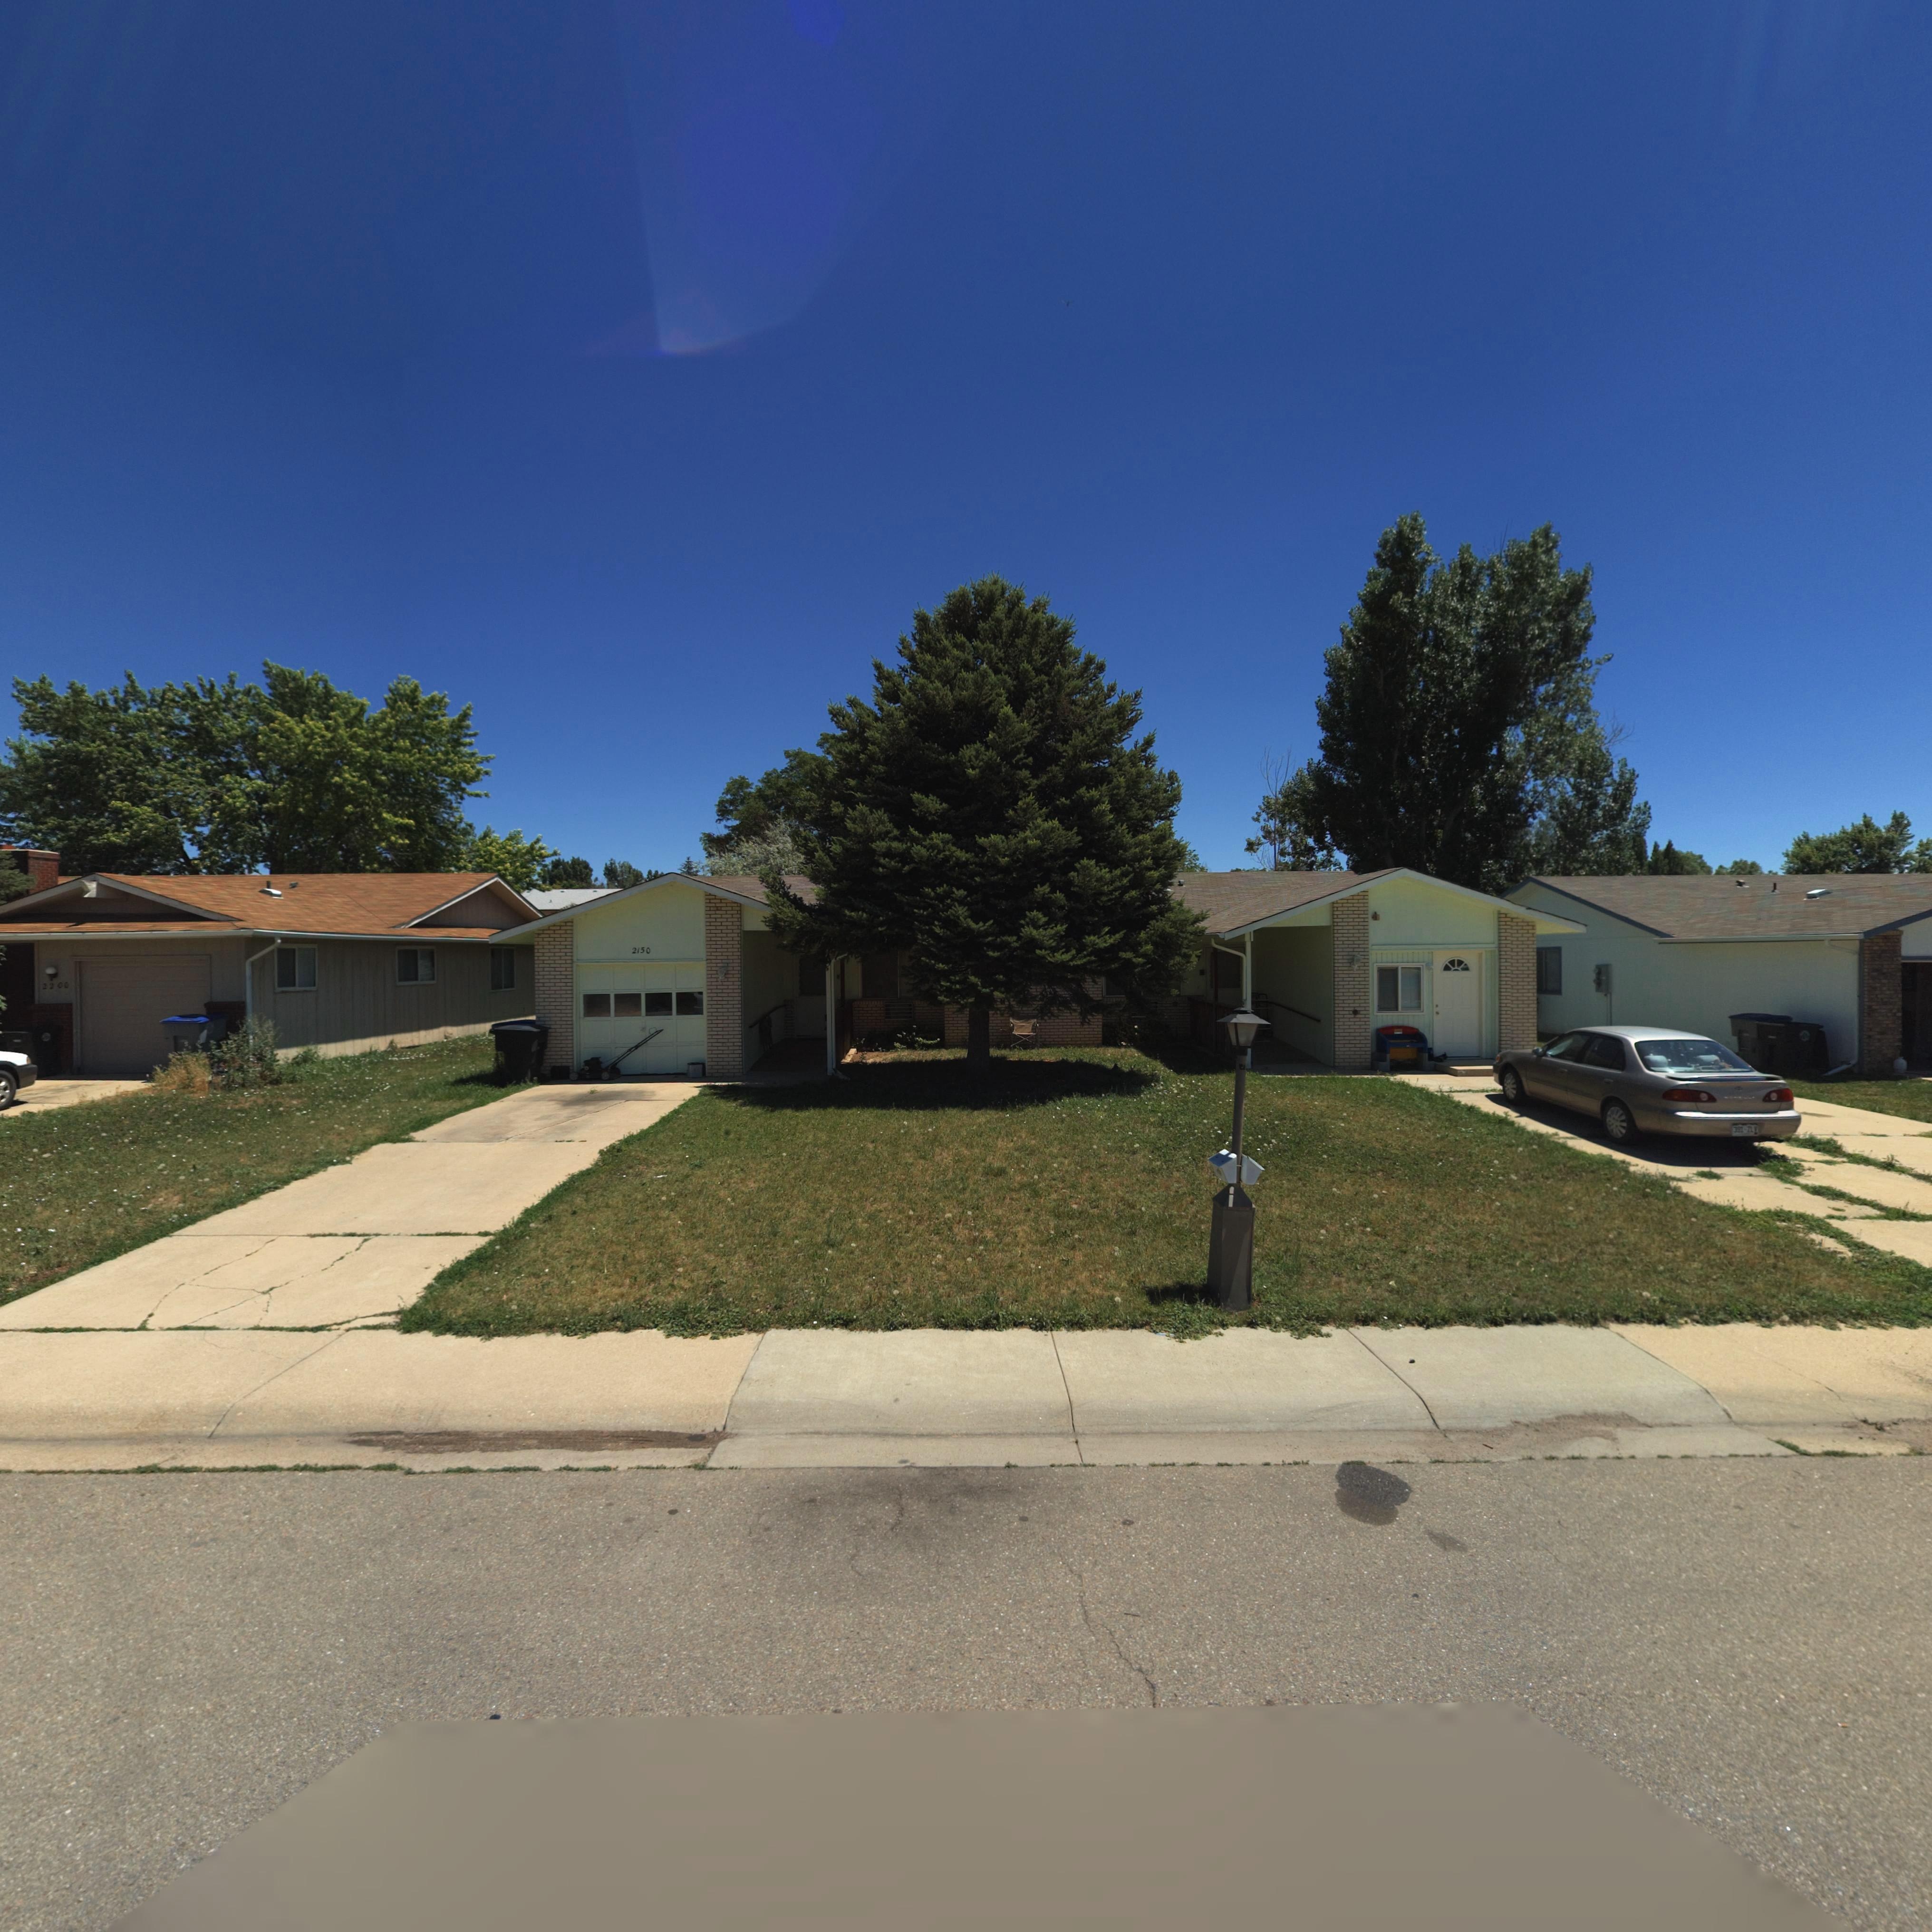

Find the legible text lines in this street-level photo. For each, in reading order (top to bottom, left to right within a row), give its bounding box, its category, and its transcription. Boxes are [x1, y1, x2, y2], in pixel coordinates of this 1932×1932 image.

[631, 946, 651, 954] StreetNumber: 2150
[41, 980, 70, 990] StreetNumber: 2200